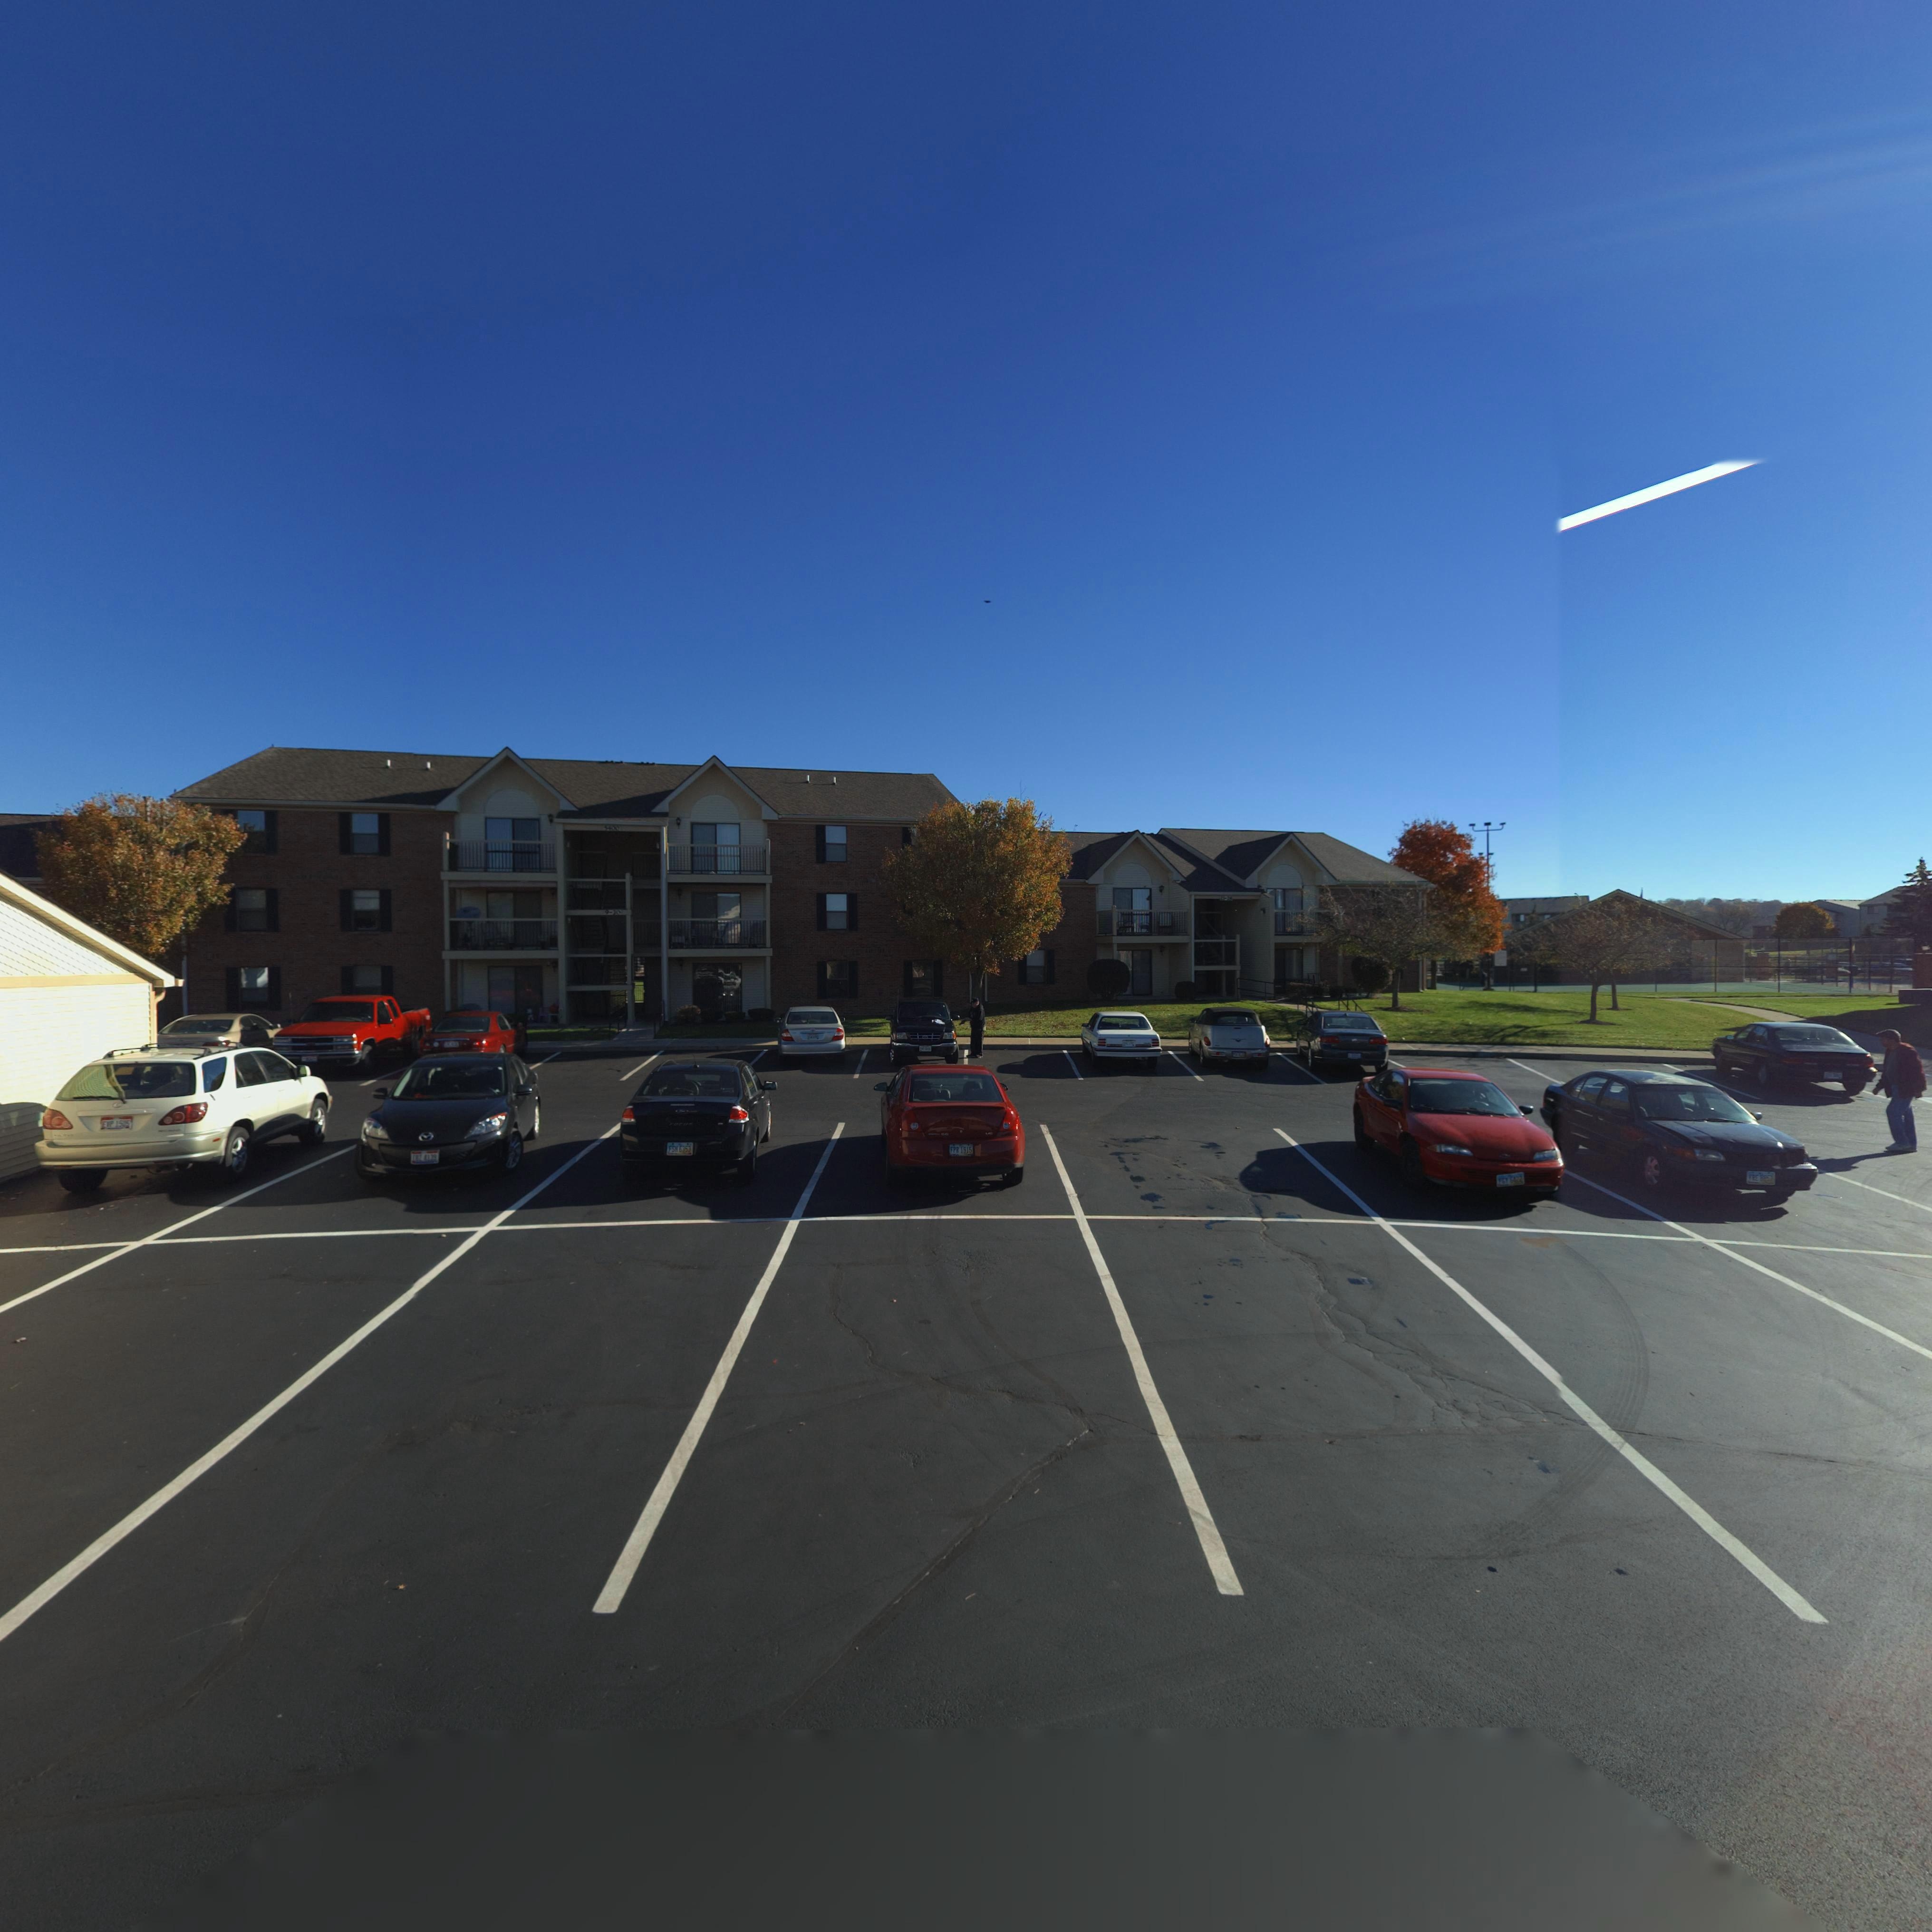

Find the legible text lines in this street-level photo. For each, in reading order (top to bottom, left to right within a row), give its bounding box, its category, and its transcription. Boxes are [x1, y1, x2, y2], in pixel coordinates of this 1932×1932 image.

[603, 825, 620, 831] StreetNumber: 5400
[1220, 895, 1232, 900] StreetNumber: 21-28
[604, 909, 621, 916] StreetNumber: 9-20